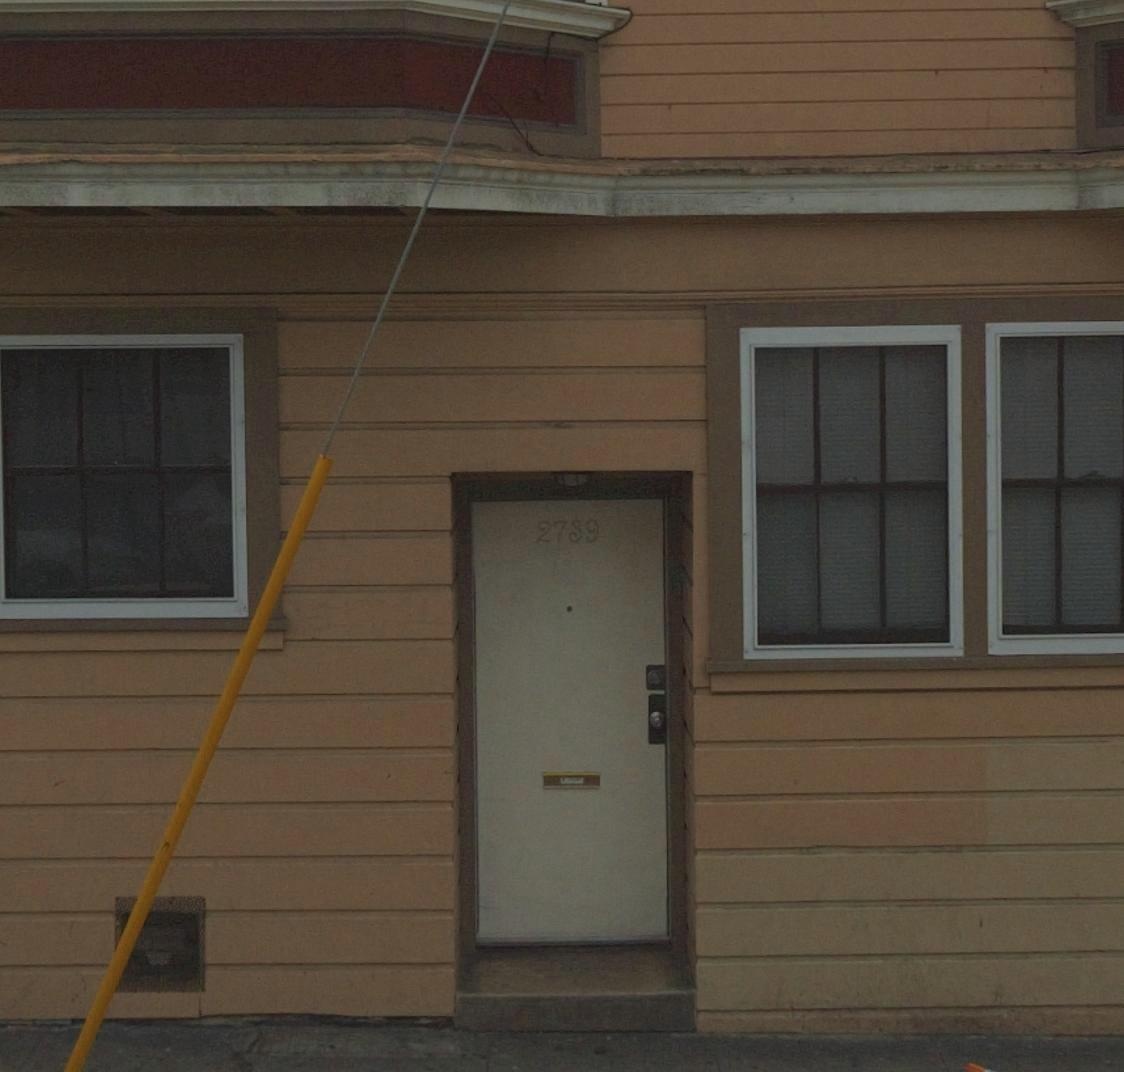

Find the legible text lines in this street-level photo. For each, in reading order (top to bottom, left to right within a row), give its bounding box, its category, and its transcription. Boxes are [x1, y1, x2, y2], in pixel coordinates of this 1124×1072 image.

[534, 518, 602, 546] StreetNumber: 2739